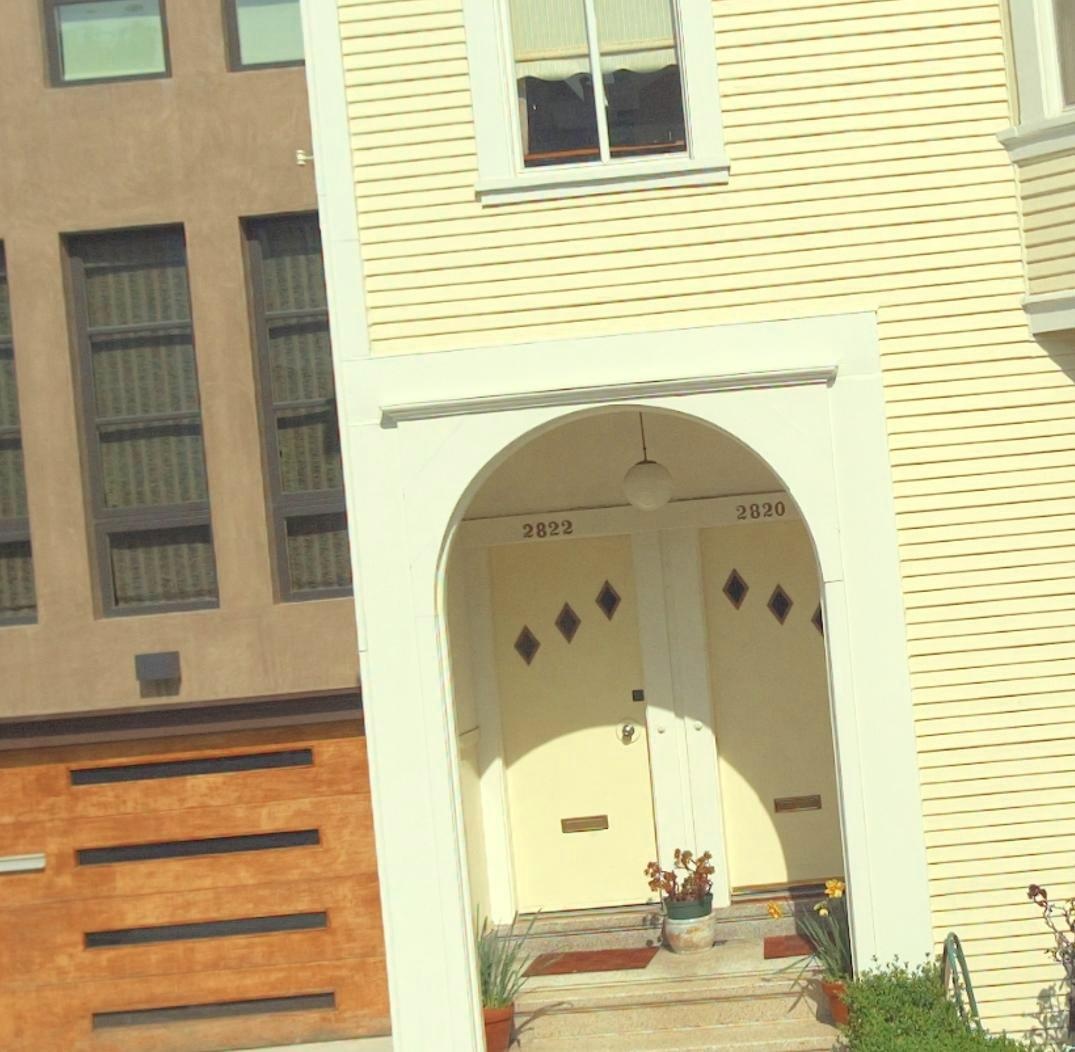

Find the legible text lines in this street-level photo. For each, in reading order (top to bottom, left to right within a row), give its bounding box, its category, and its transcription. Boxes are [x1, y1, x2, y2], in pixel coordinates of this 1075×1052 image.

[733, 498, 788, 523] StreetNumber: 2820
[520, 516, 575, 541] StreetNumber: 2822